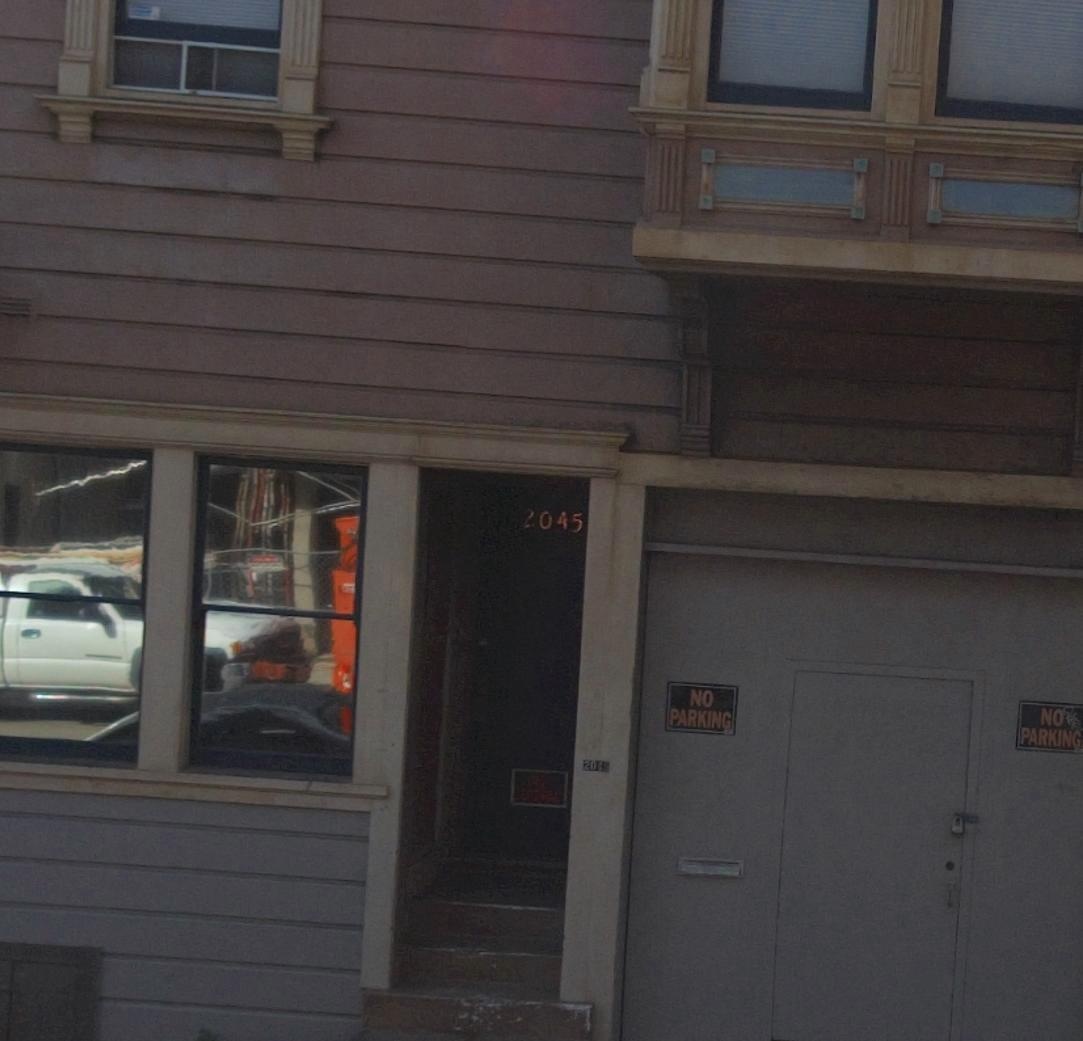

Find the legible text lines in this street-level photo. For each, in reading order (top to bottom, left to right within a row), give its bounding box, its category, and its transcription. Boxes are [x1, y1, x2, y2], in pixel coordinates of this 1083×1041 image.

[520, 505, 586, 536] StreetNumber: 2045
[687, 685, 717, 710] None: NO
[666, 704, 735, 733] None: PARKING
[1039, 705, 1066, 729] None: NO
[1019, 724, 1083, 751] None: PARKING